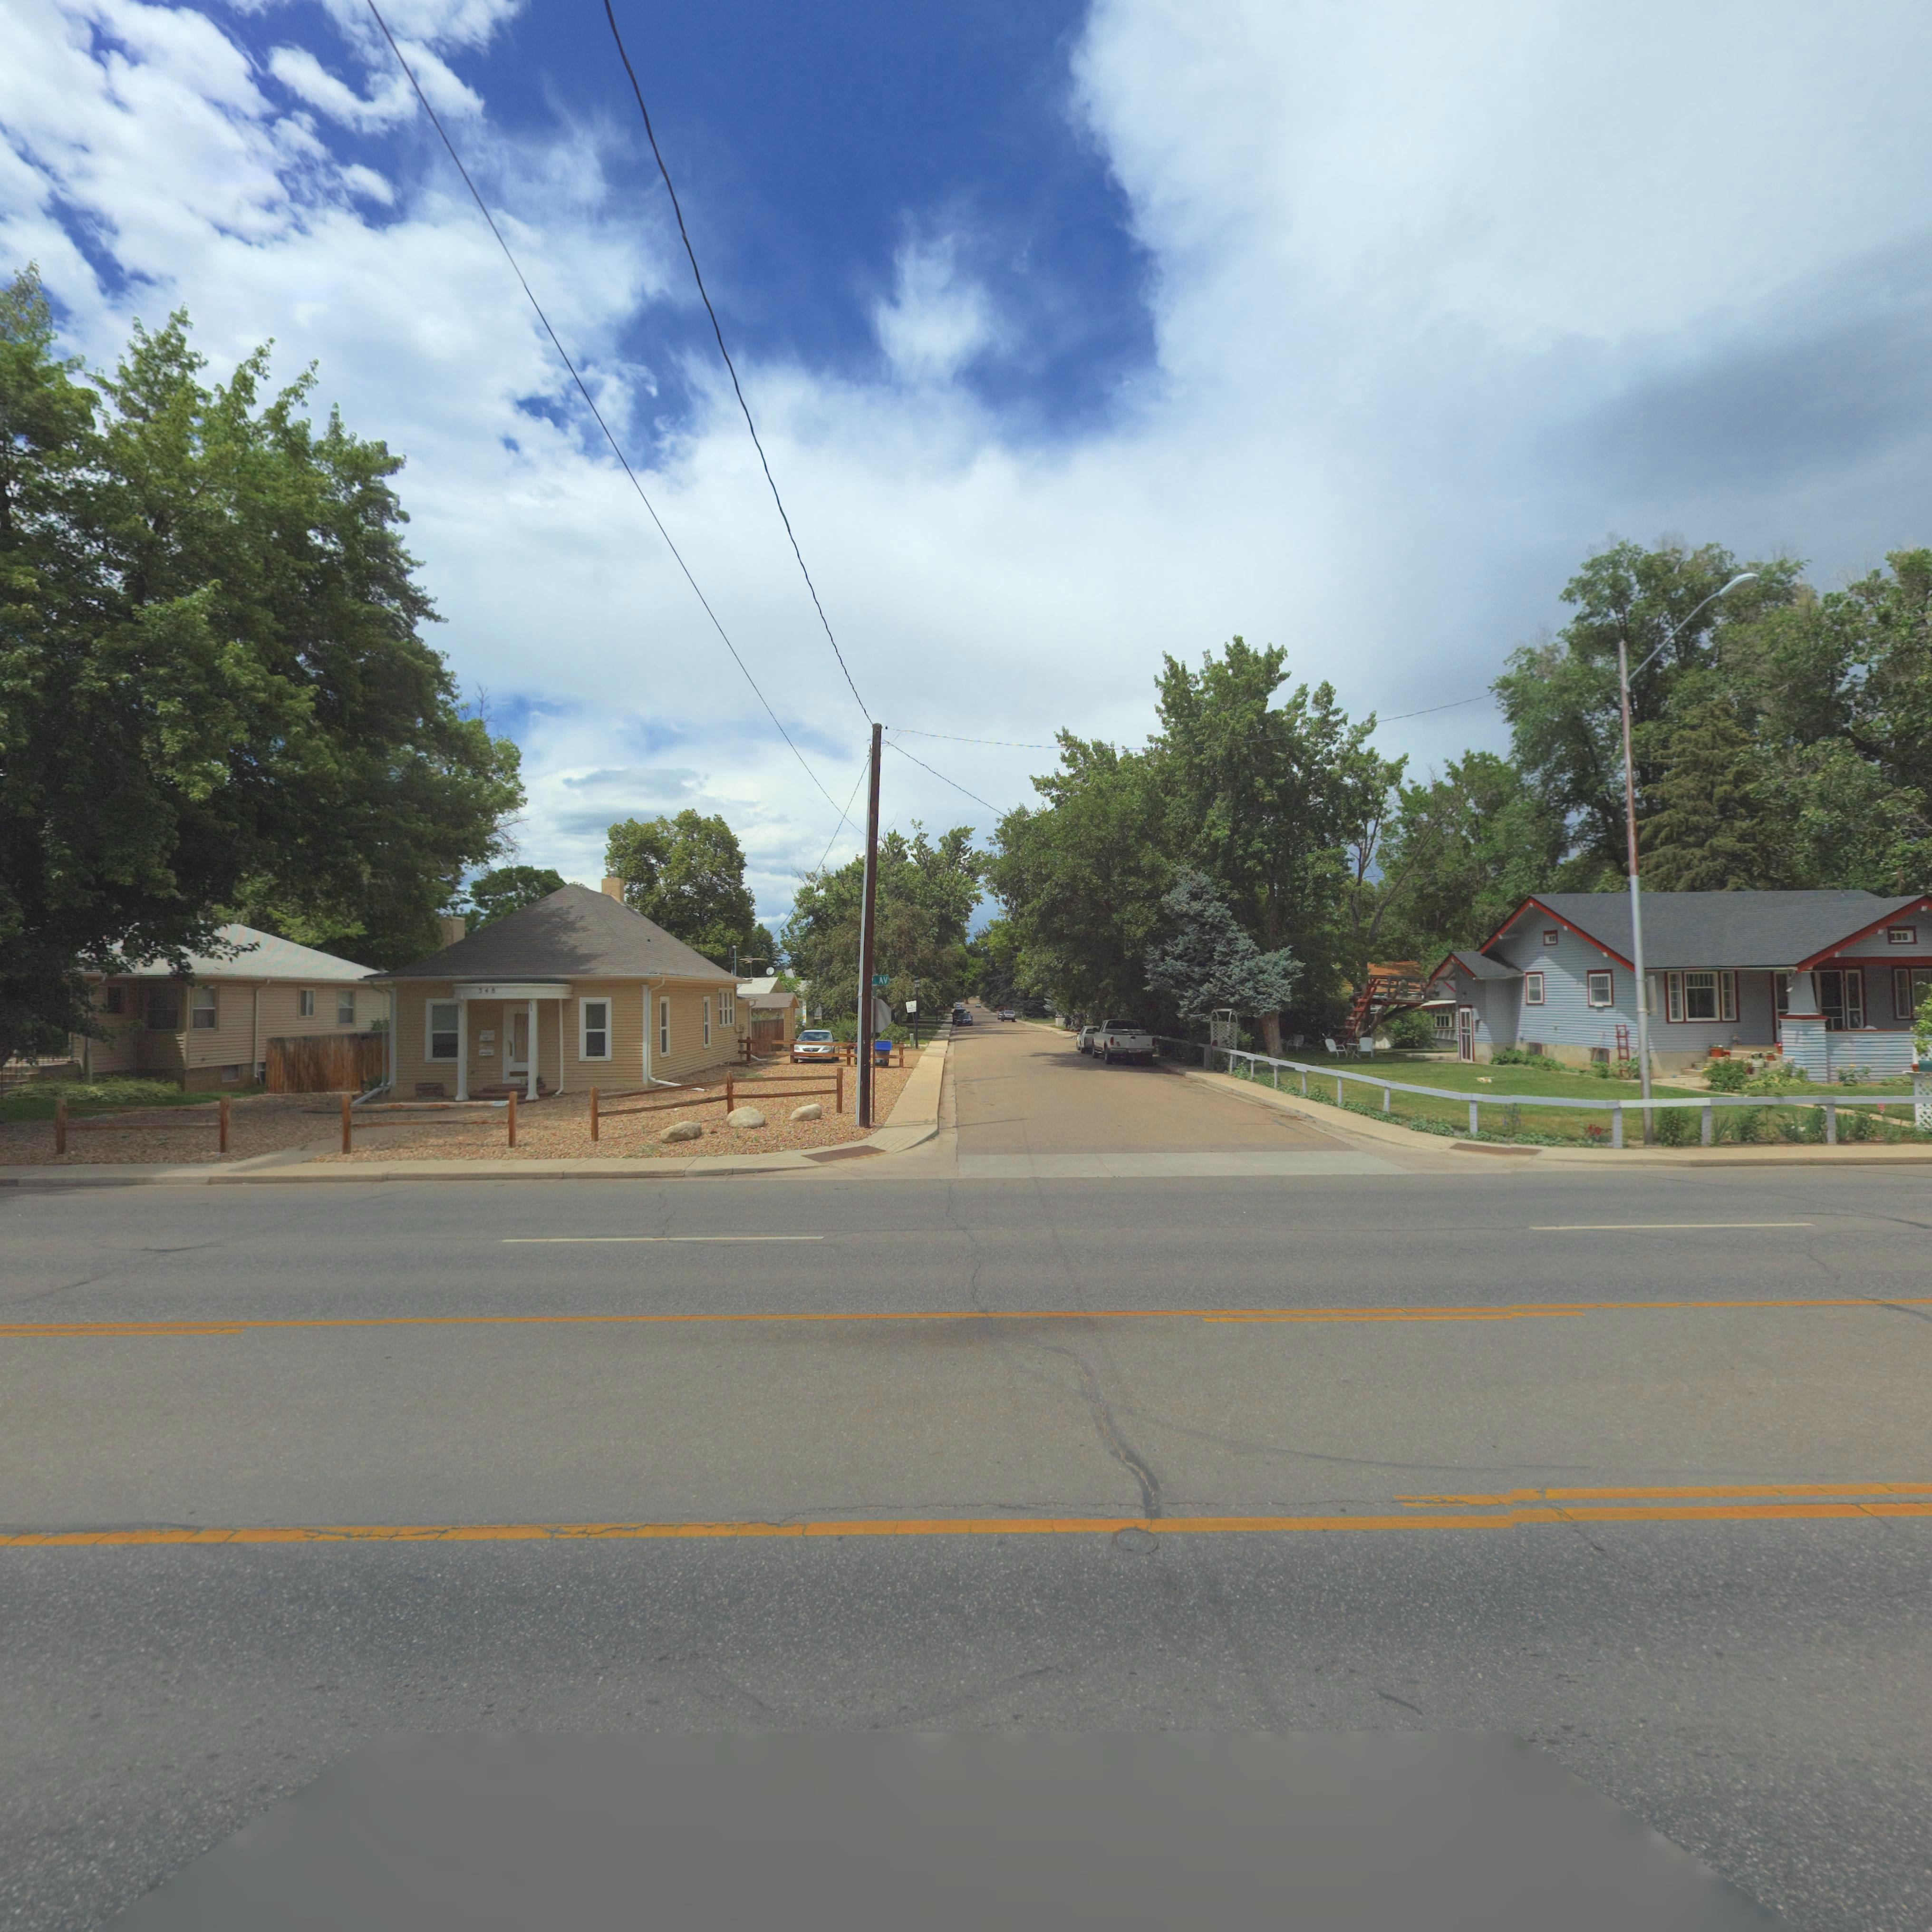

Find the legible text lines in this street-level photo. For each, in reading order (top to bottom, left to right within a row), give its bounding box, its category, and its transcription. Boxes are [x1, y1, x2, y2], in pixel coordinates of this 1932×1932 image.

[478, 987, 495, 993] StreetNumber: 348